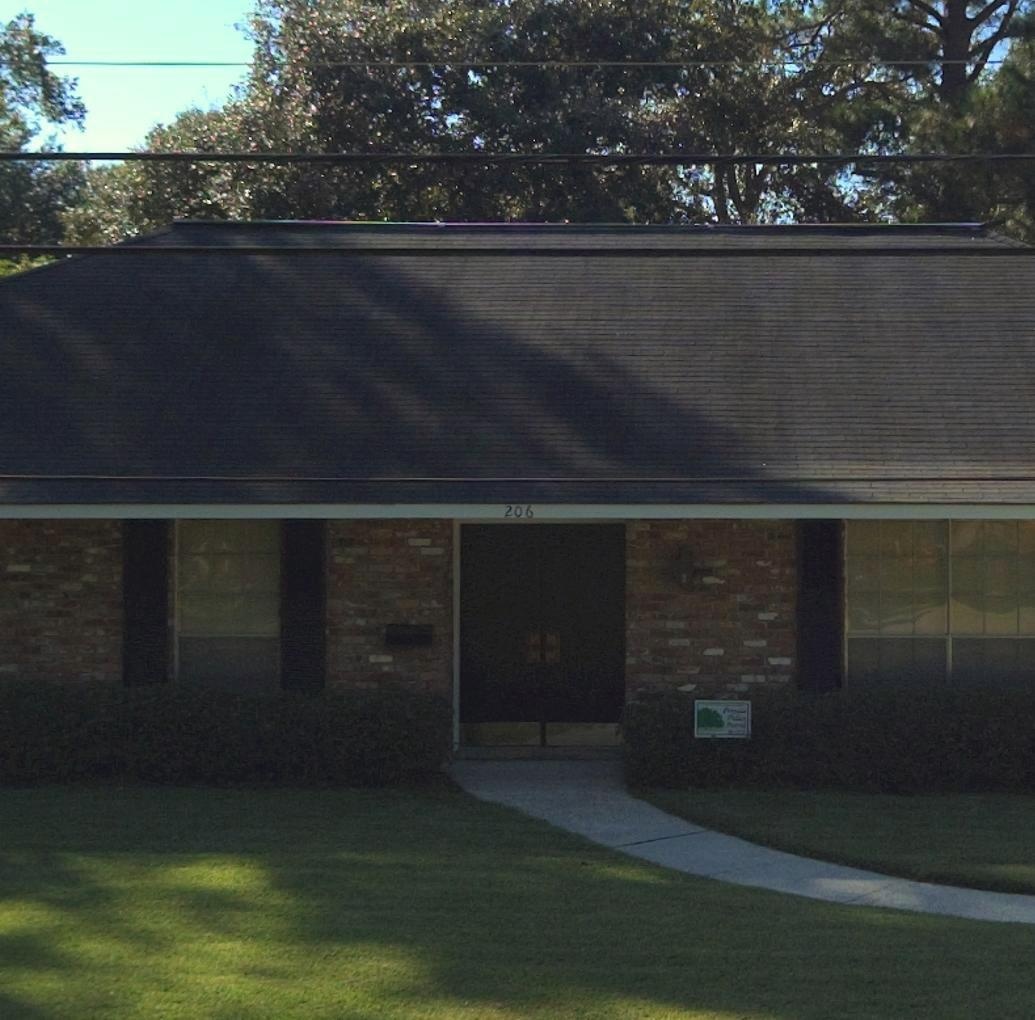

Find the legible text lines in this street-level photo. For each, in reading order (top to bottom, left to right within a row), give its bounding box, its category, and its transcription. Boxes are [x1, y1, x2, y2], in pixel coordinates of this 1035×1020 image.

[503, 504, 535, 519] StreetNumber: 206